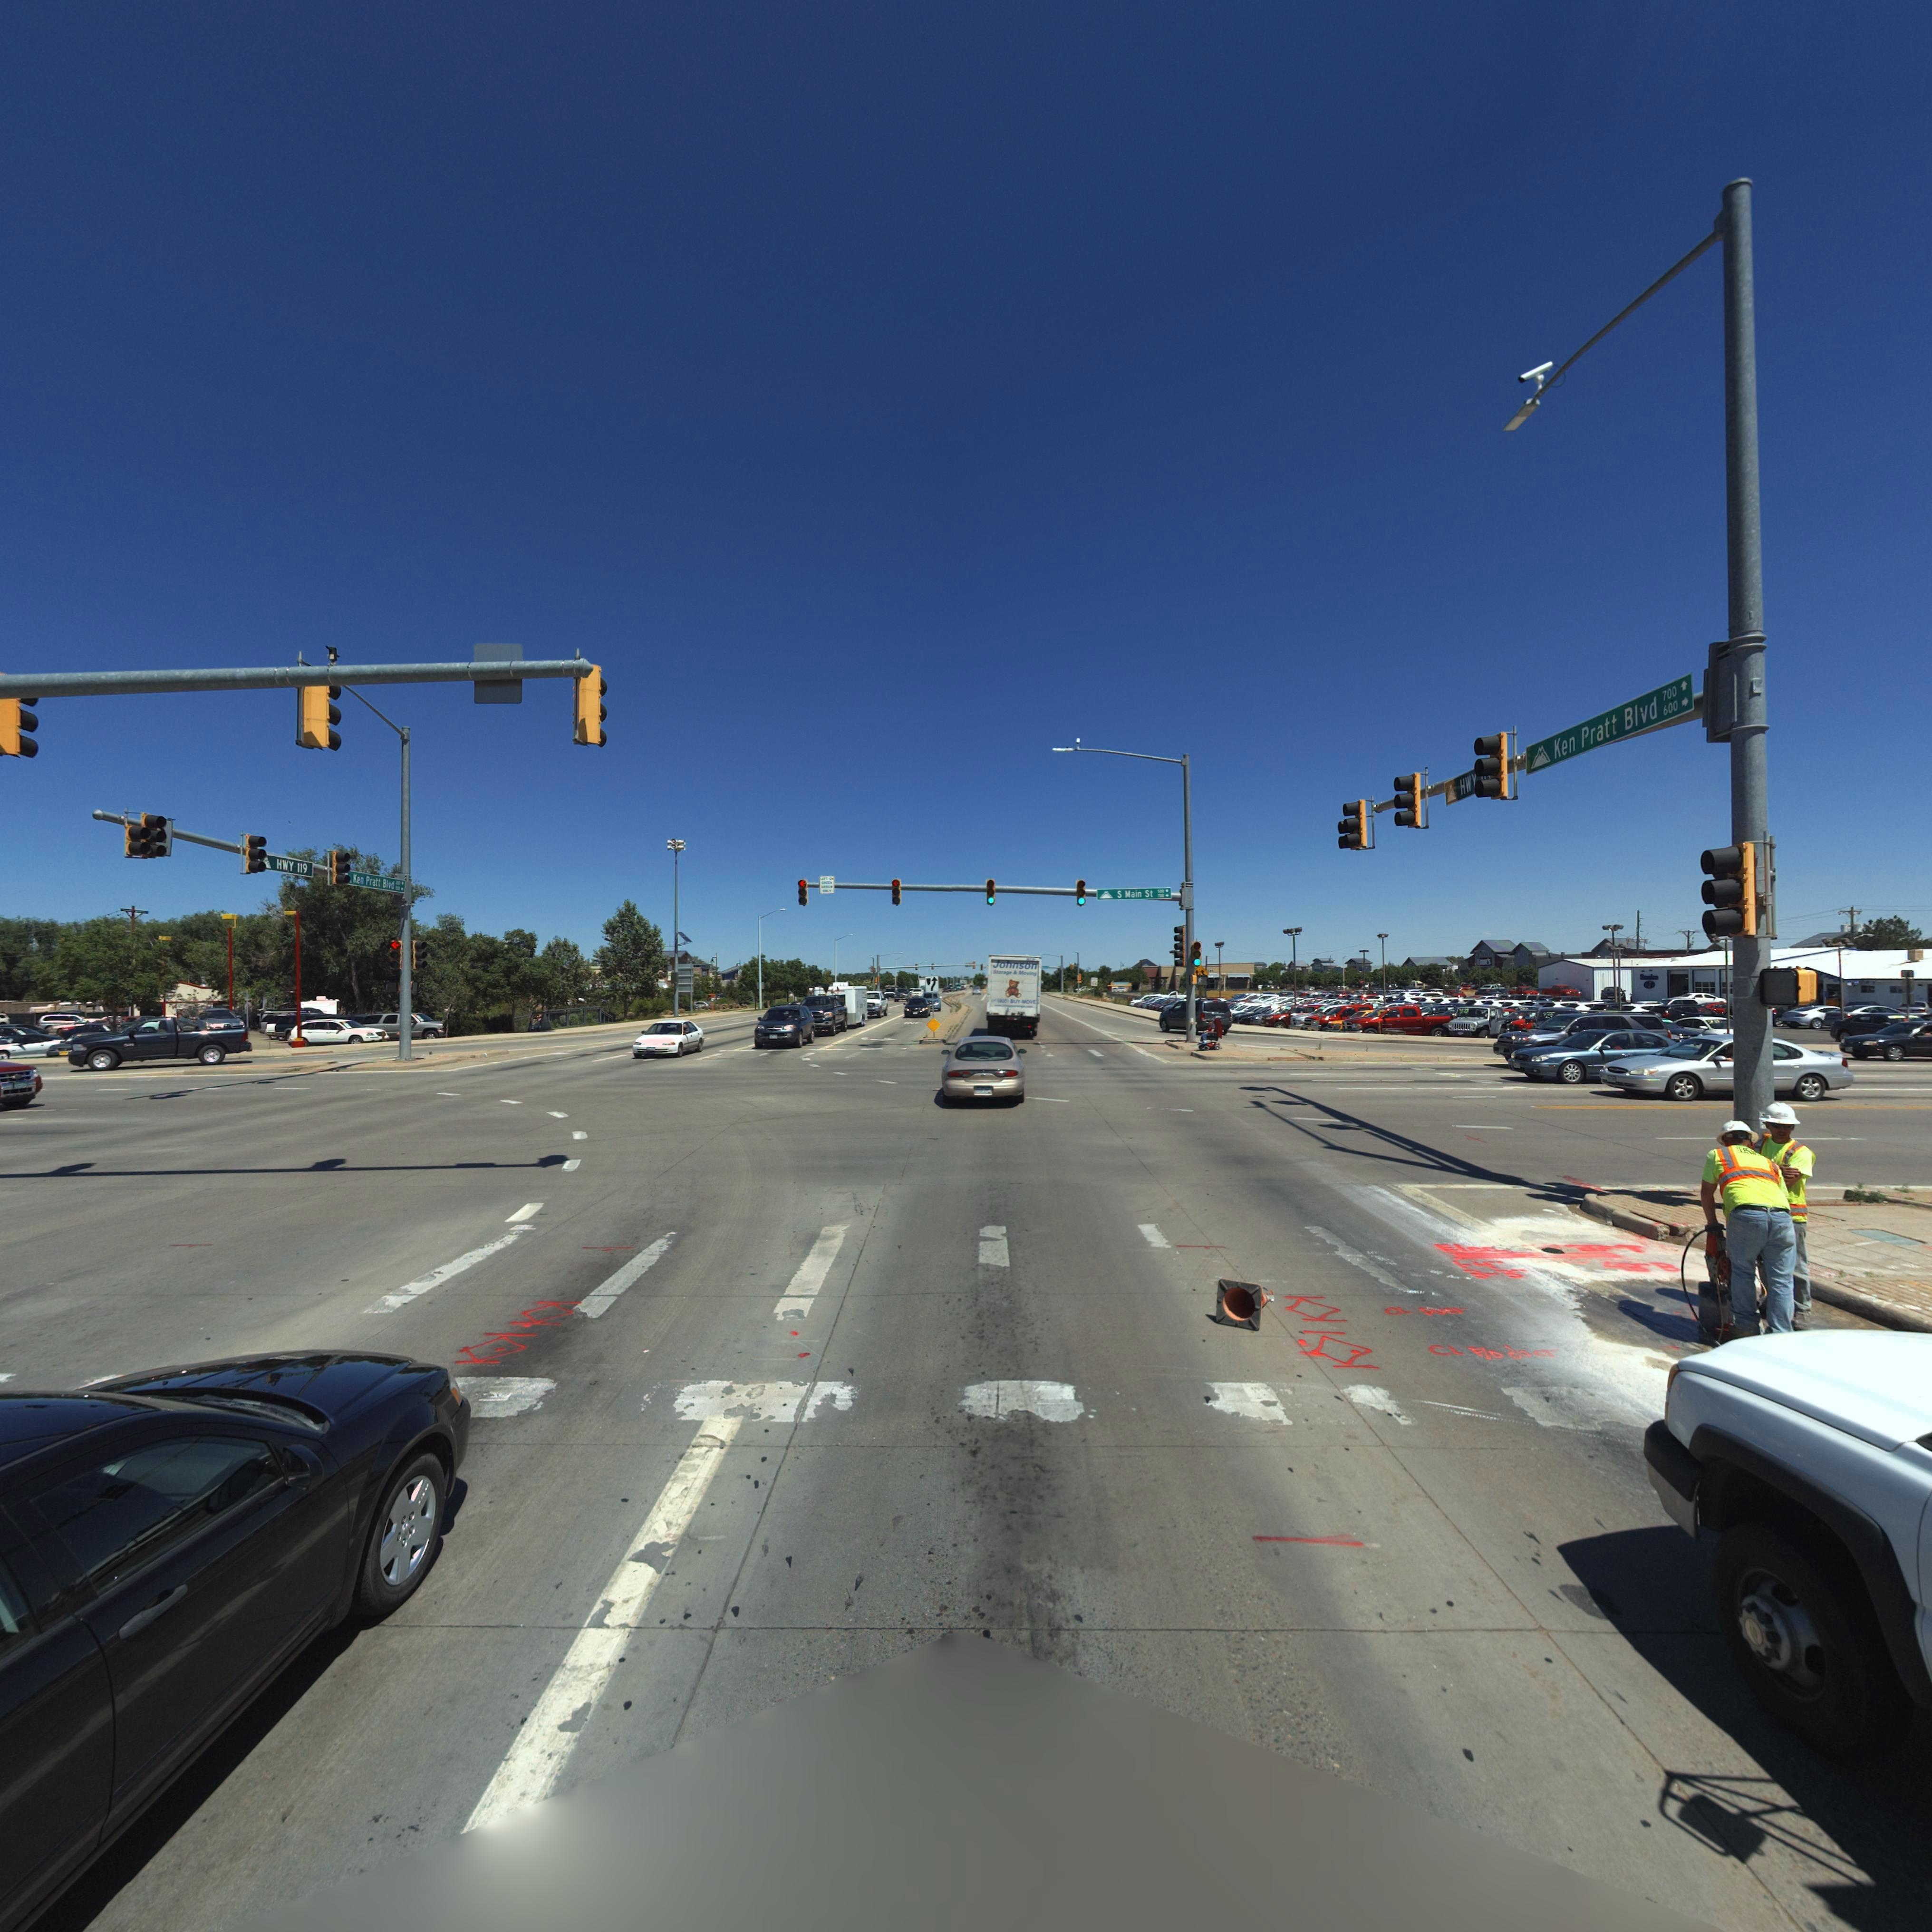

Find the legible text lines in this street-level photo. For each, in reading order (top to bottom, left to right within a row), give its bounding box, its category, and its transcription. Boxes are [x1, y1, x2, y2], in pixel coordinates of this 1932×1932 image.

[1662, 685, 1677, 701] StreetNumberRange: 700
[1662, 696, 1689, 716] StreetNumberRange: 600 ->
[1552, 693, 1660, 761] StreetName: Ken Pratt Blvd
[1459, 767, 1492, 795] StreetName: HWY ***
[276, 858, 308, 873] StreetName: HWY 119
[352, 873, 395, 889] StreetName: Ken Pratt Blvd
[395, 880, 401, 885] StreetNumberRange: 200
[395, 885, 404, 891] StreetNumberRange: *00 ->
[1117, 889, 1153, 898] StreetName: S Main St
[1157, 889, 1165, 893] StreetNumberRange: 500
[1158, 893, 1169, 898] StreetNumberRange: *00 ->
[1477, 957, 1491, 965] BusinessName: *O*E'S